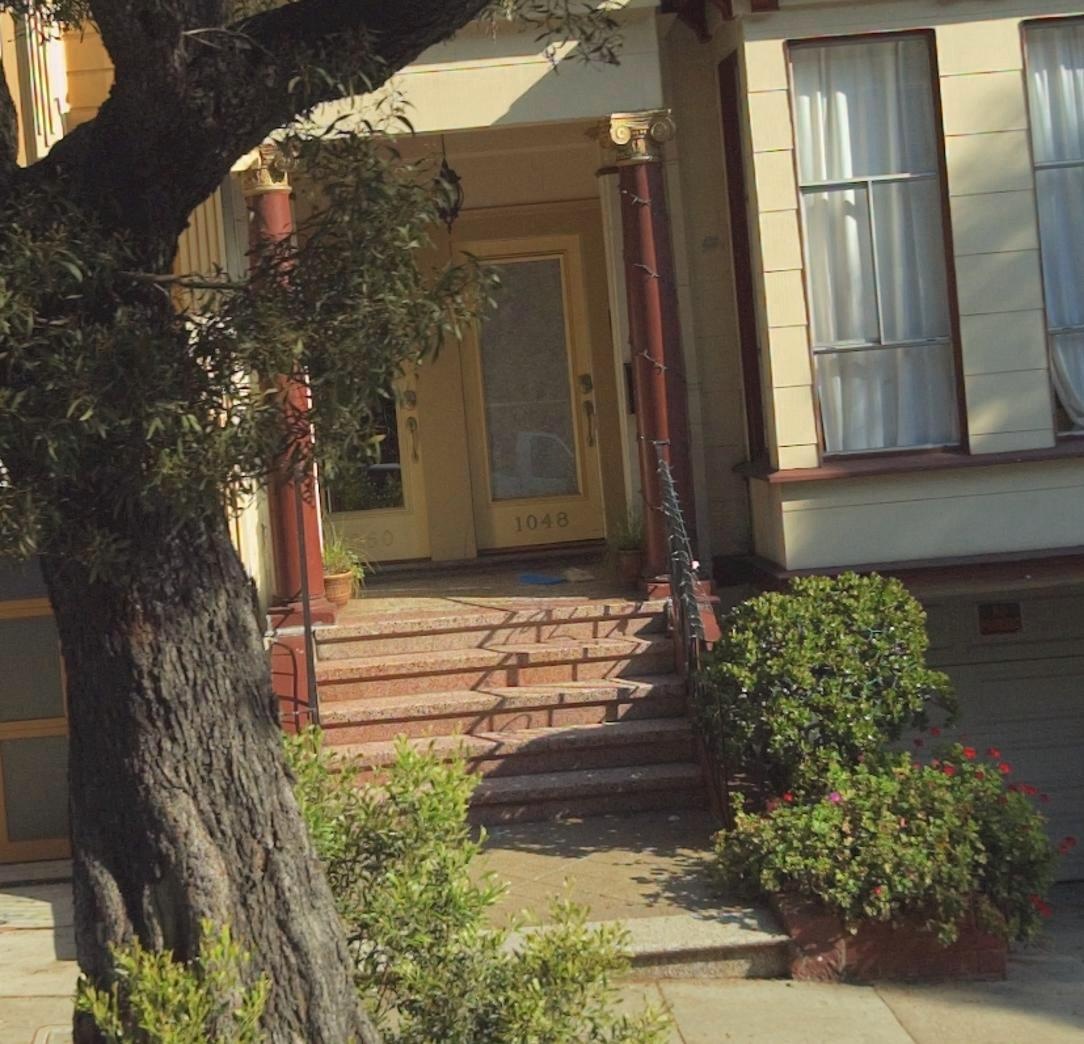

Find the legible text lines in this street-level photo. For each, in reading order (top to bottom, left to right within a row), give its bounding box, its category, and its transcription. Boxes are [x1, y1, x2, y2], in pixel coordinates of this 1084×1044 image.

[513, 509, 571, 534] StreetNumber: 1048
[361, 526, 399, 550] StreetNumber: 60